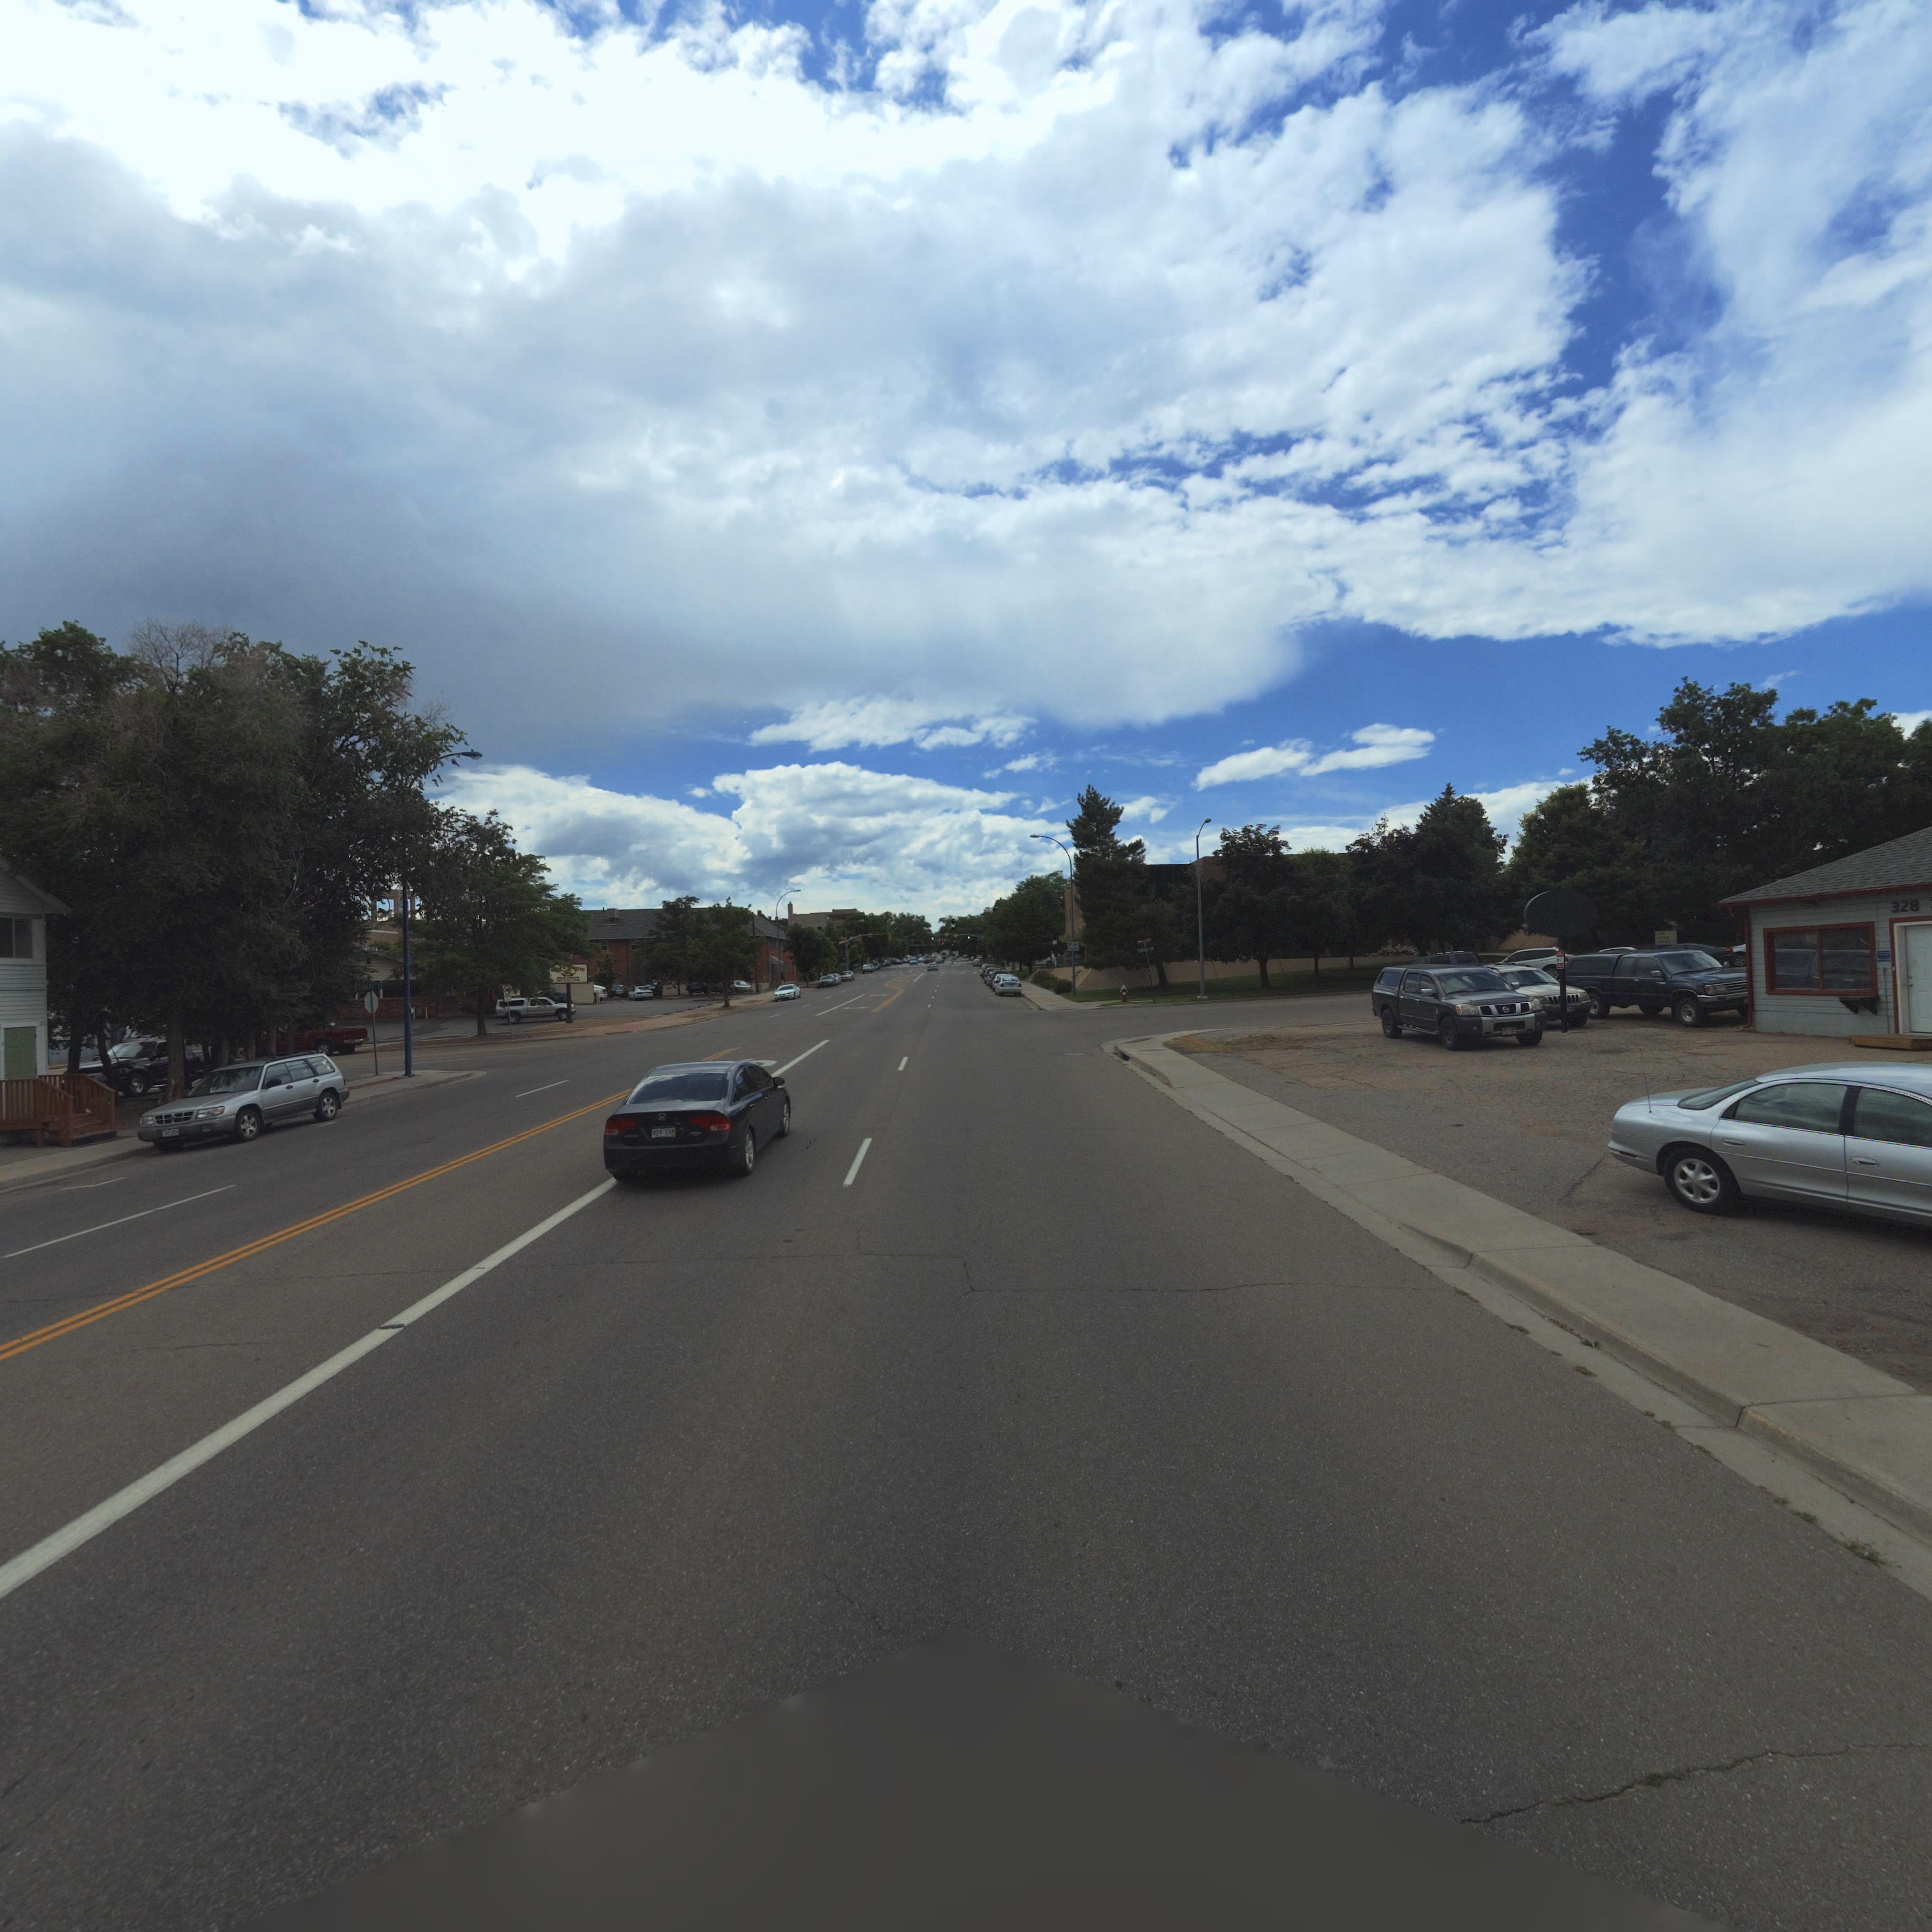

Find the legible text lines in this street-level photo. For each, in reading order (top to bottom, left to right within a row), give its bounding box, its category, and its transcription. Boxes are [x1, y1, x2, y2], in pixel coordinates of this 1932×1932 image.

[1890, 899, 1920, 913] StreetNumber: 328